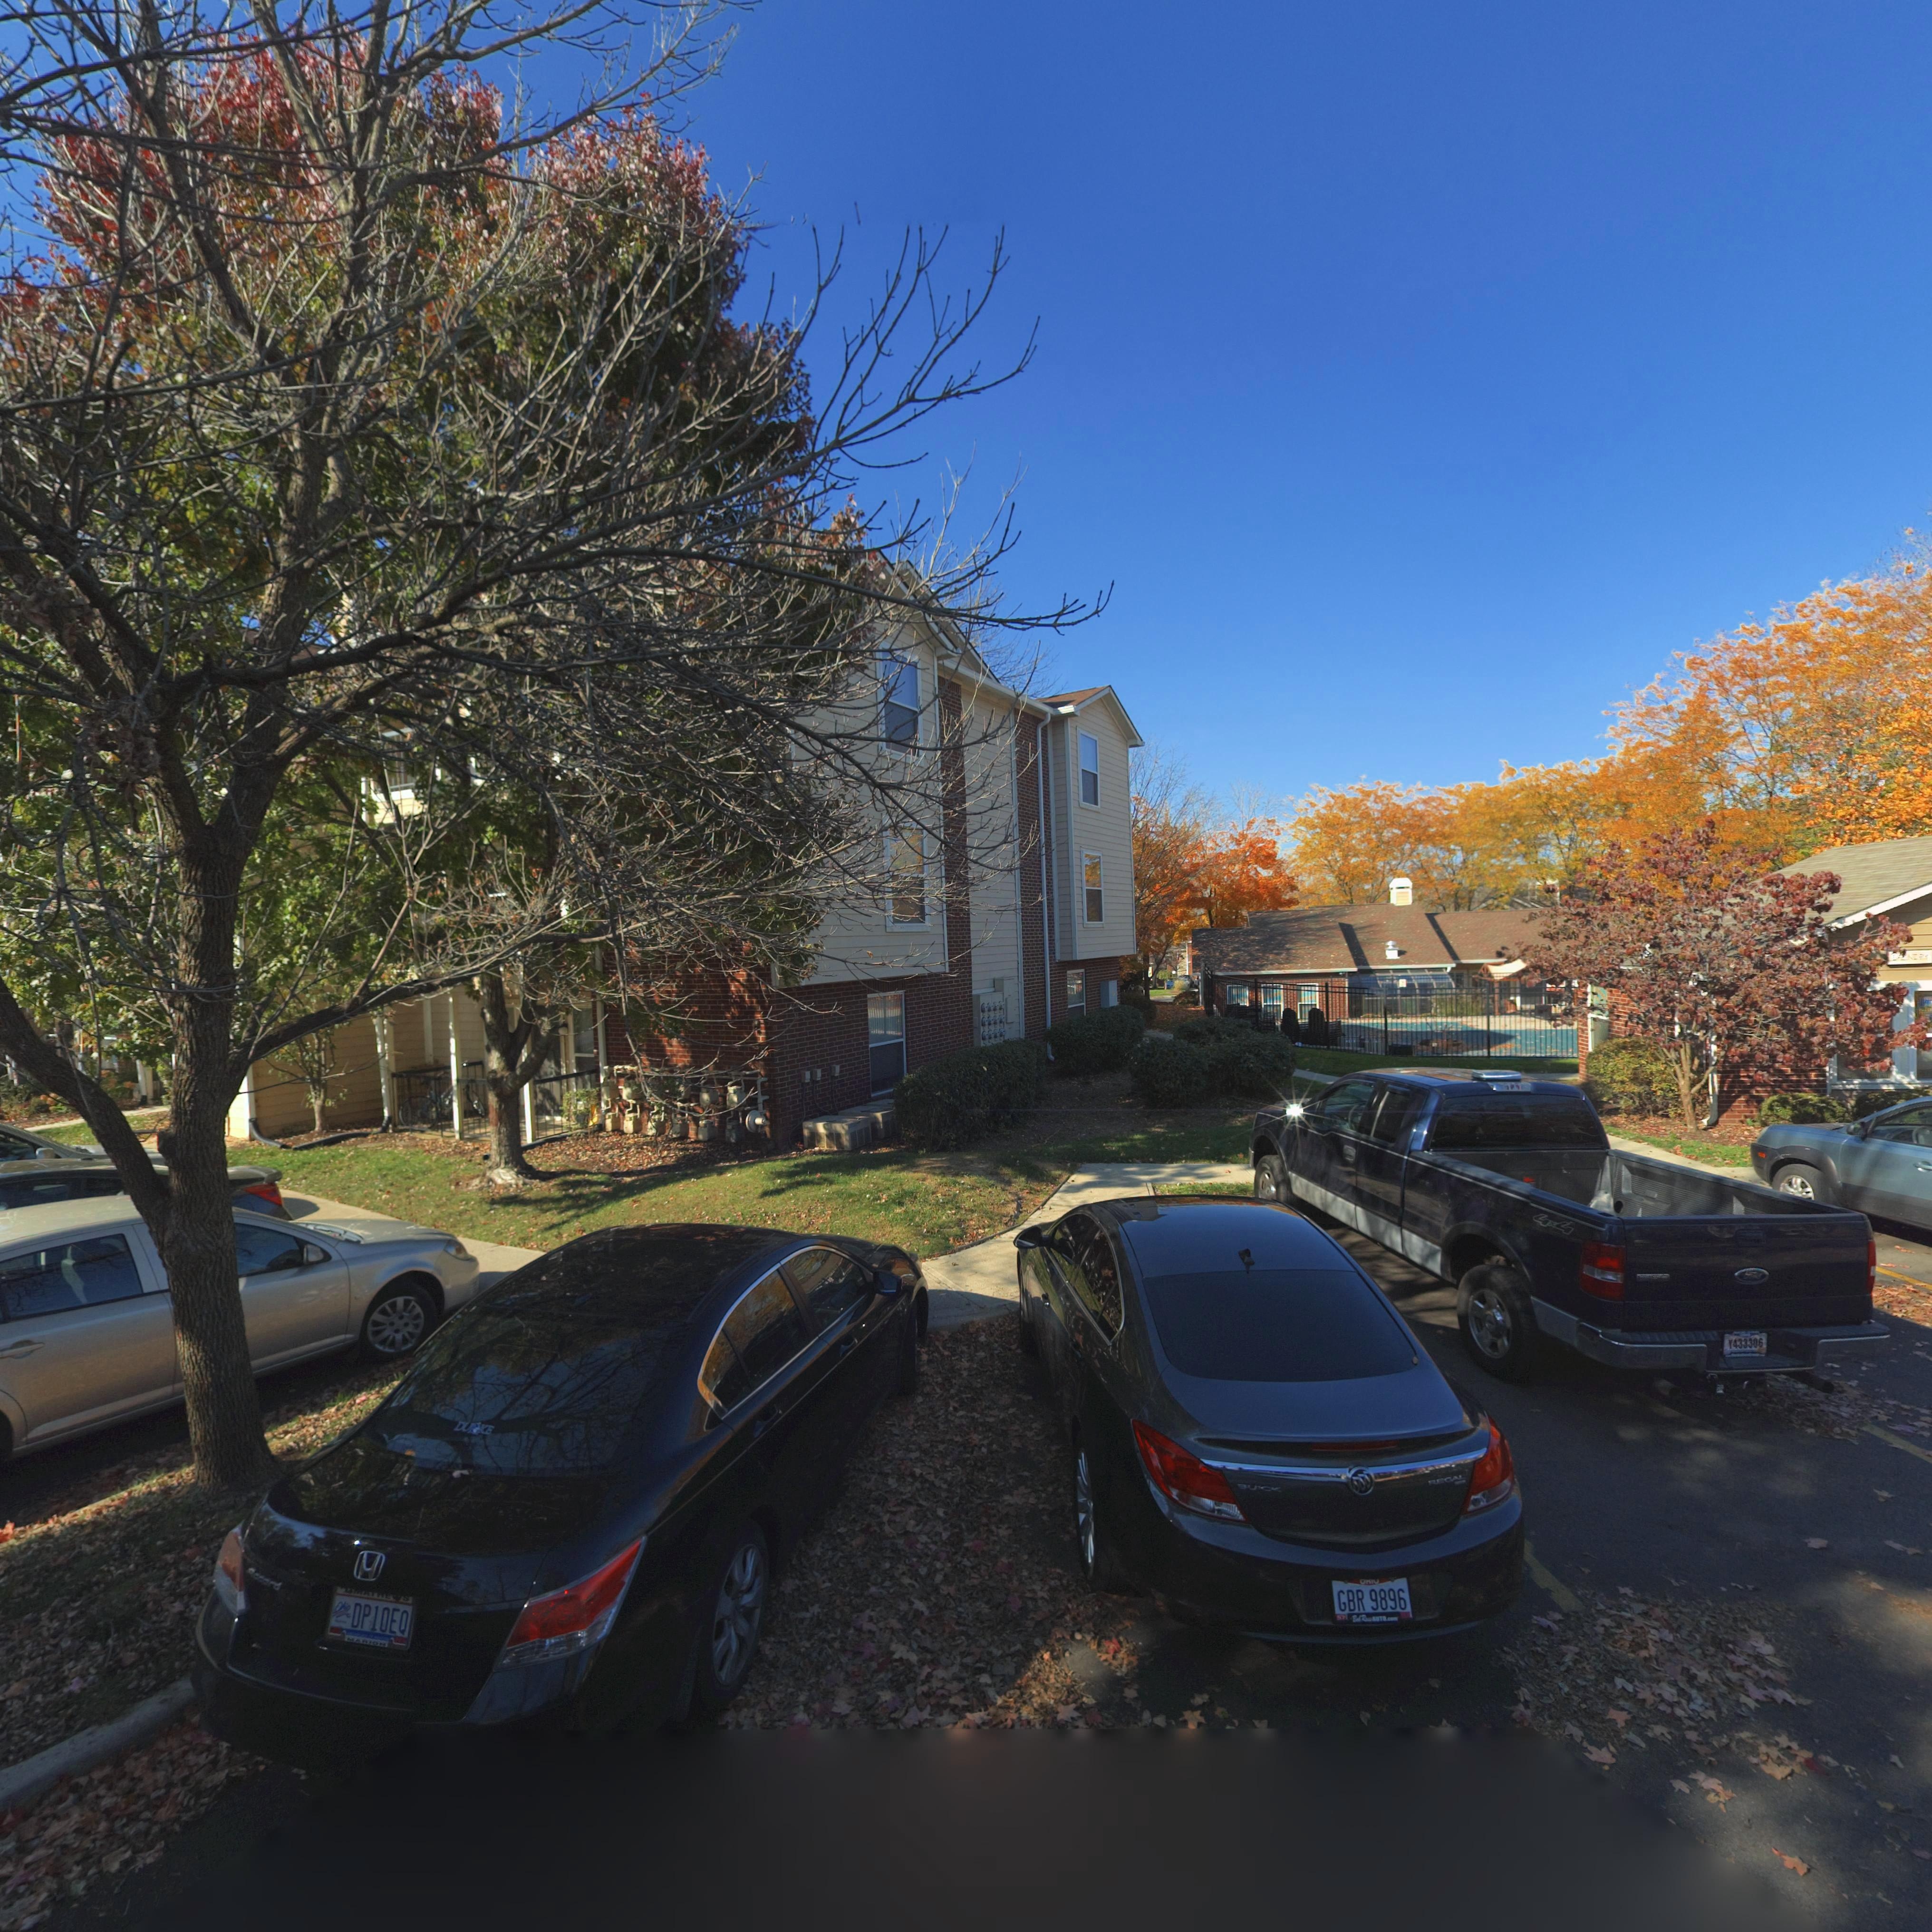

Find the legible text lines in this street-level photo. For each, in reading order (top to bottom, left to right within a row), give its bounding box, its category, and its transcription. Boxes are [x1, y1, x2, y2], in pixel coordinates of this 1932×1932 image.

[1532, 1213, 1575, 1236] None: 4x4
[1727, 1336, 1764, 1351] None: Y43306
[1336, 1586, 1409, 1614] None: GBR 9896
[349, 1600, 411, 1637] None: DP10EQ
[346, 1636, 387, 1648] None: MARION